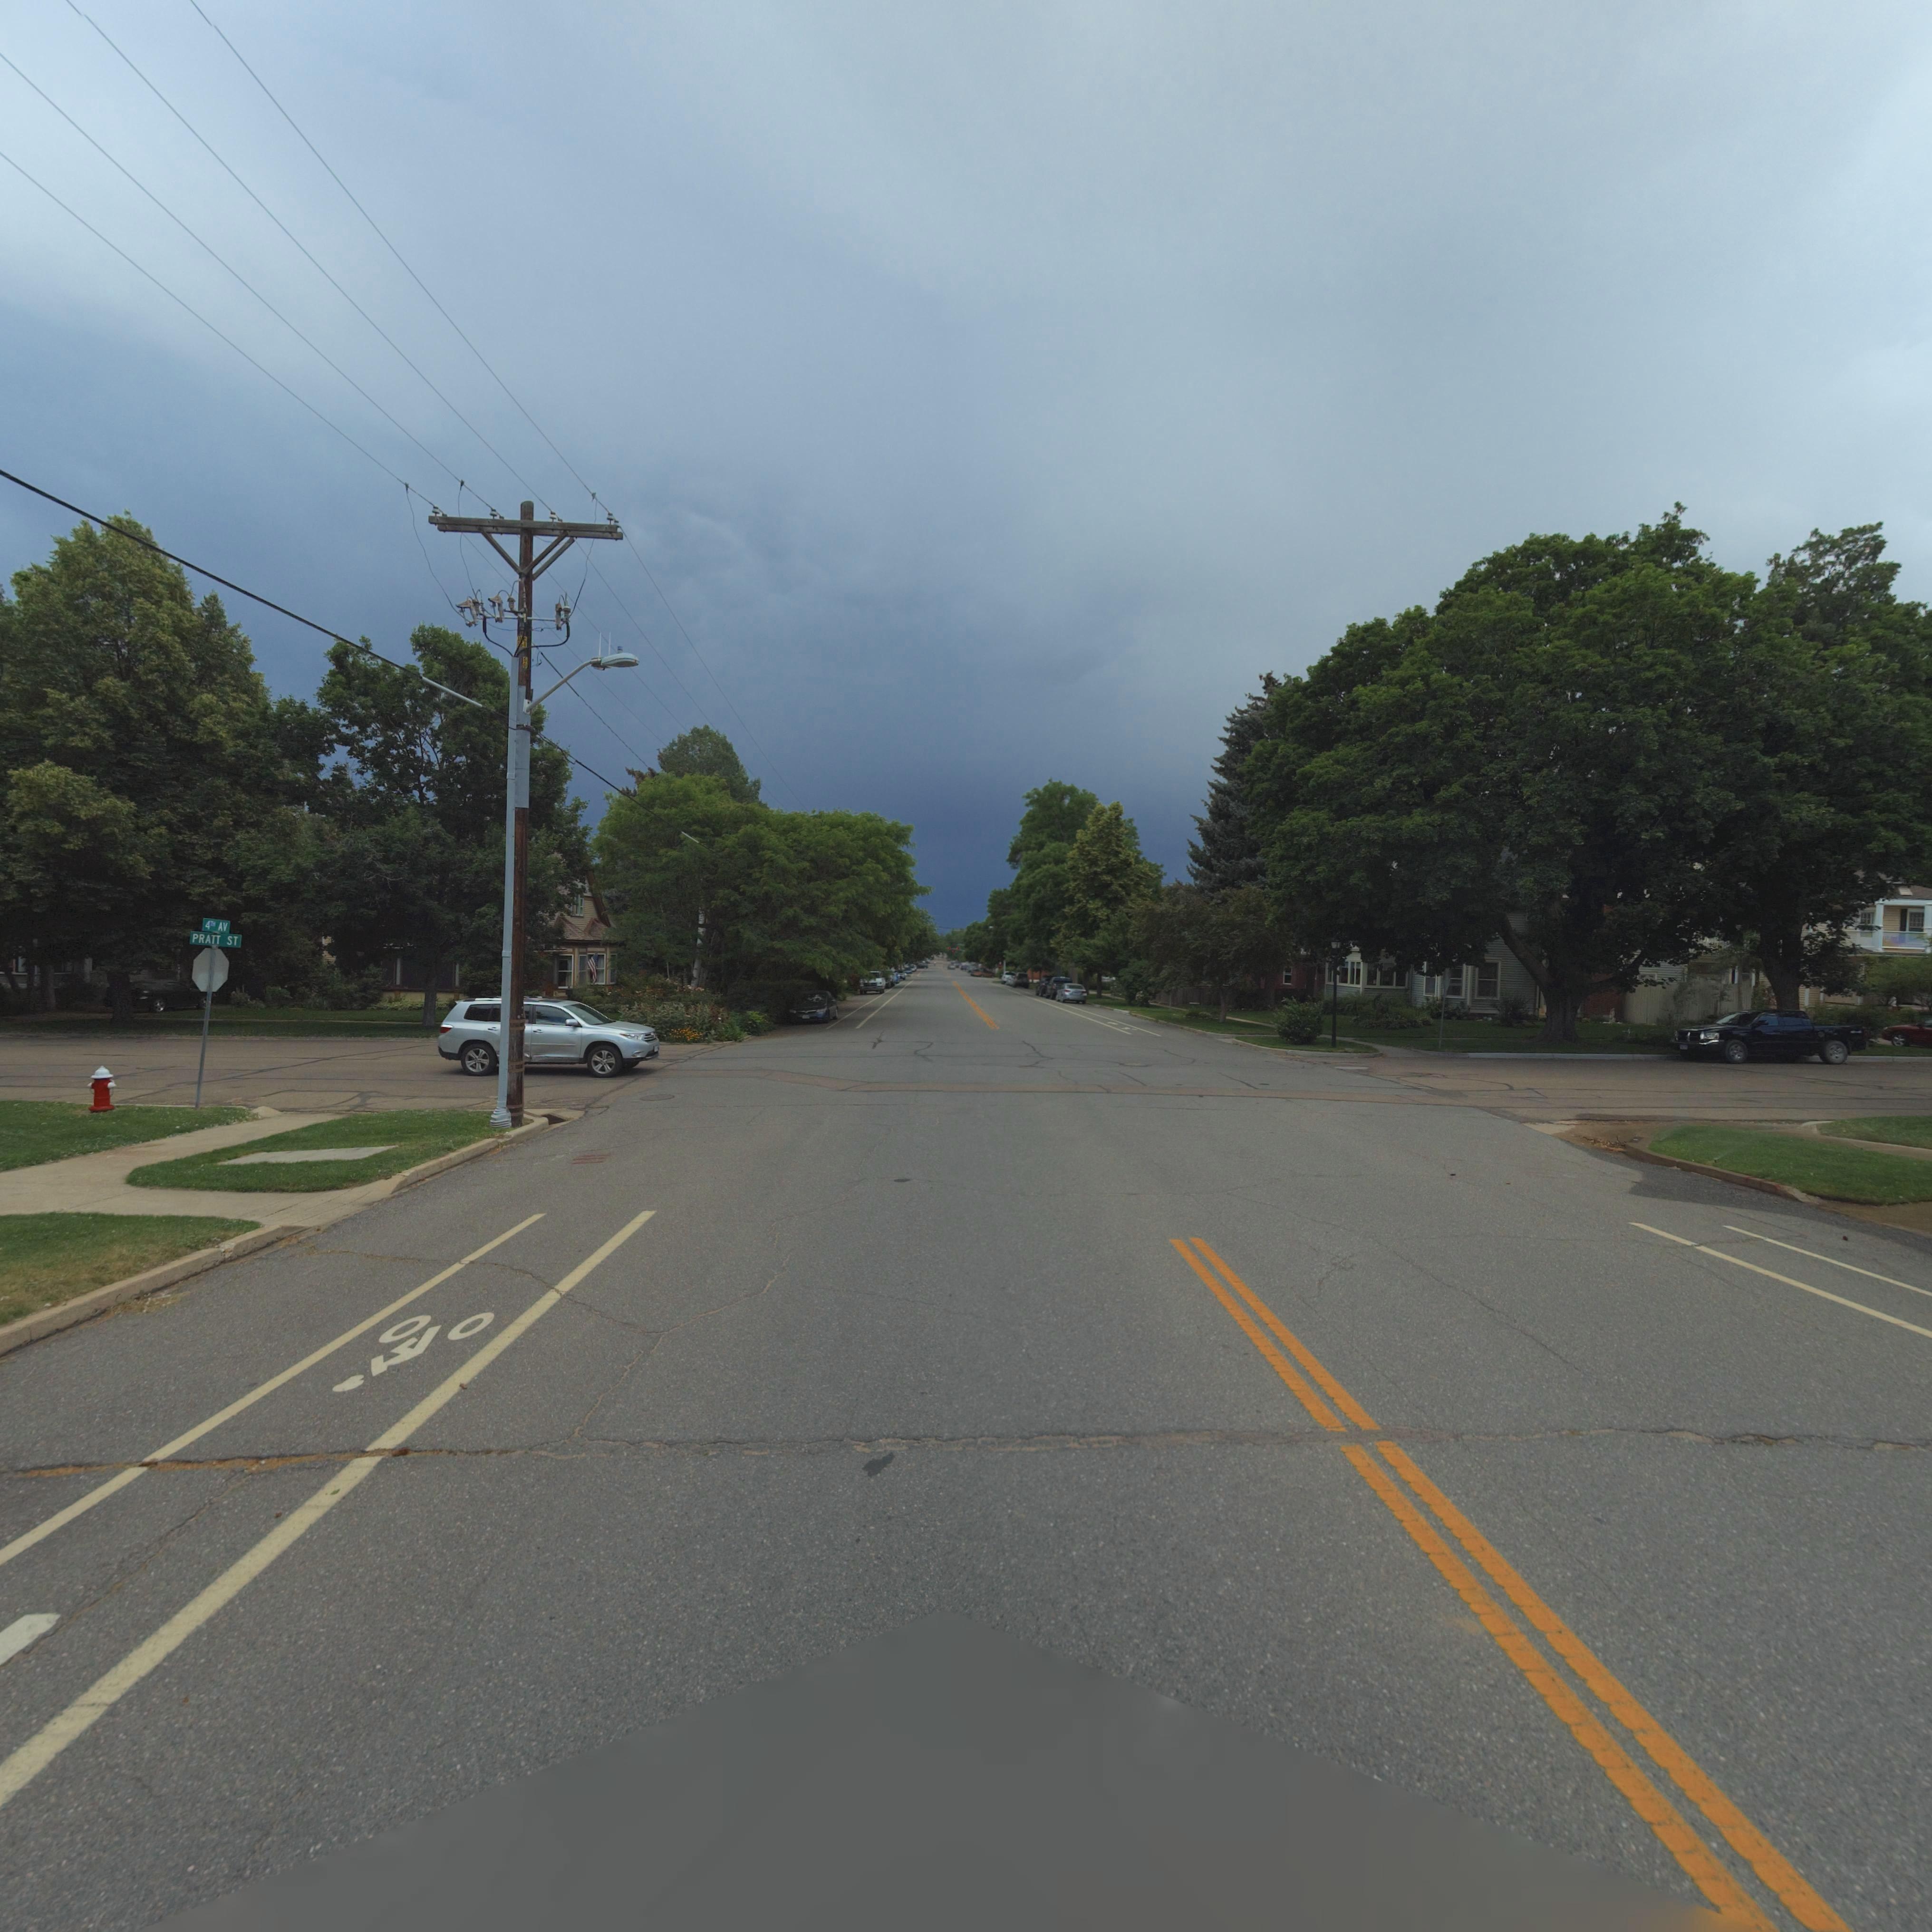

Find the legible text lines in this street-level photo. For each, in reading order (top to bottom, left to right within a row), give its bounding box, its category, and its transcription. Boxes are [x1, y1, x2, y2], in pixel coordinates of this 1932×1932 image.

[204, 920, 228, 932] StreetName: 4TH AV
[192, 933, 239, 946] StreetName: PRATT ST